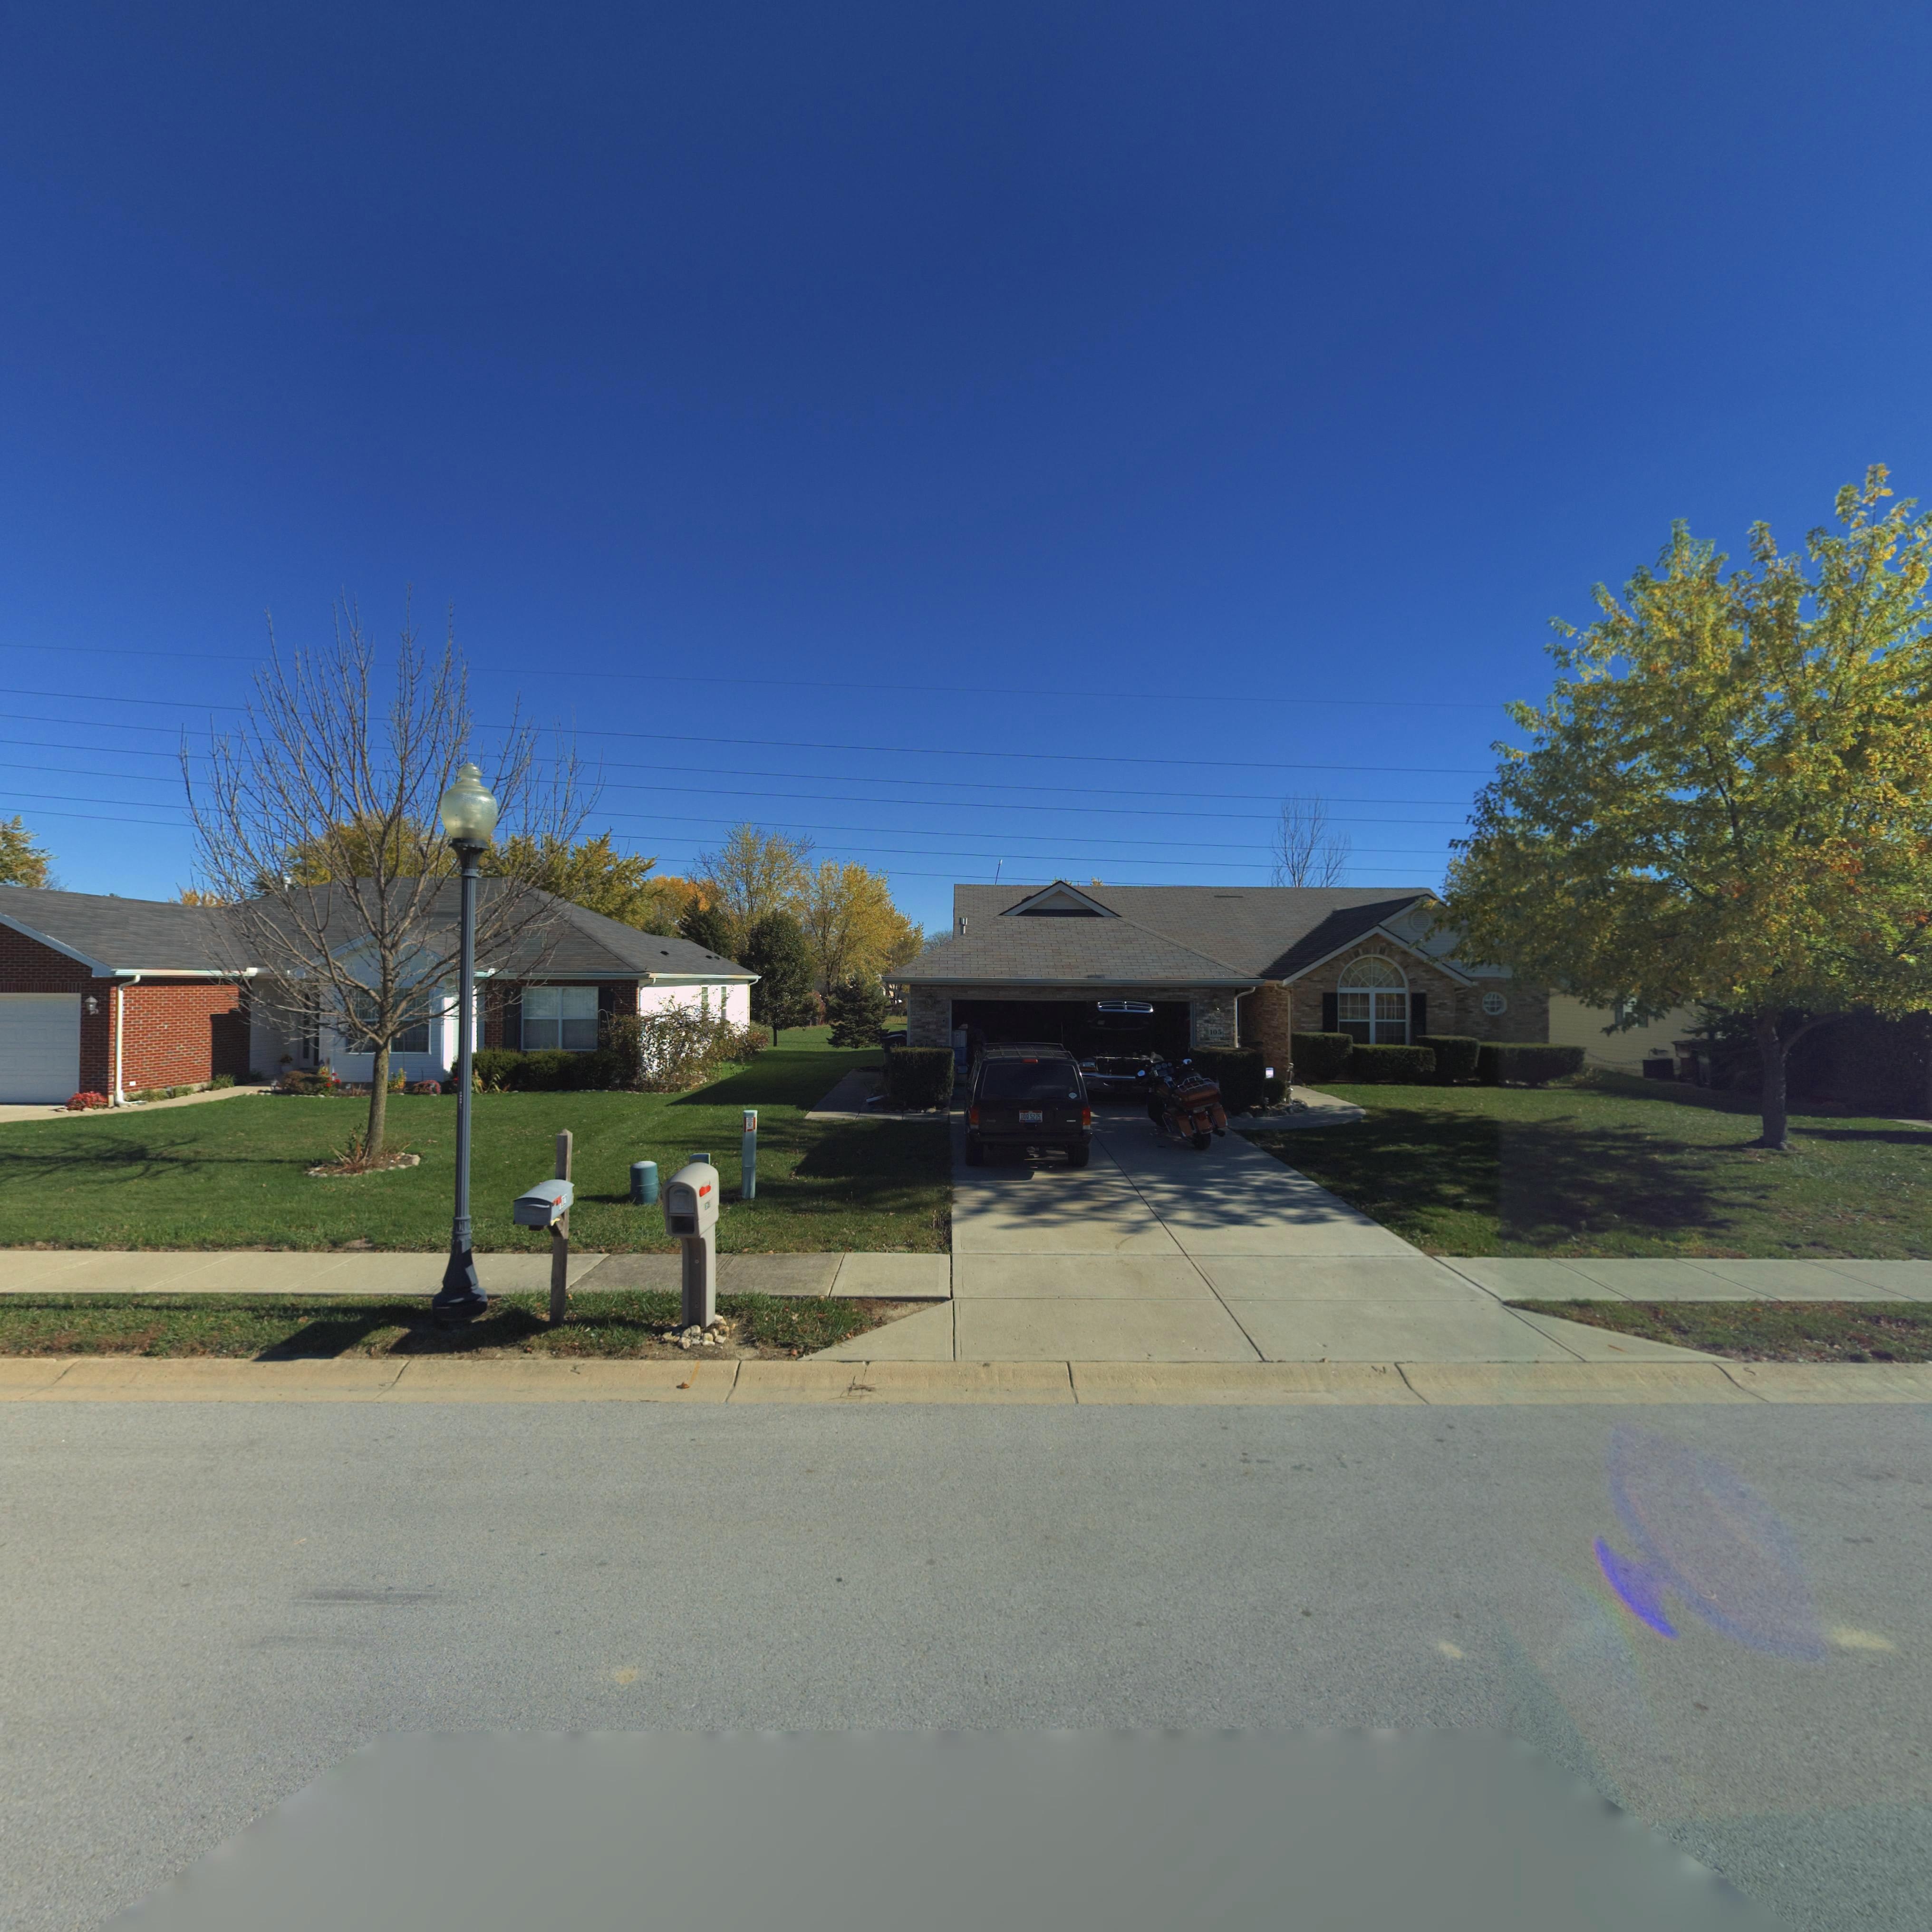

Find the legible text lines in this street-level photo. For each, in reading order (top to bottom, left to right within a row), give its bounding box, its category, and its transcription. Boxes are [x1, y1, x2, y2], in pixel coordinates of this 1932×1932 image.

[1209, 1028, 1223, 1035] StreetNumber: 105